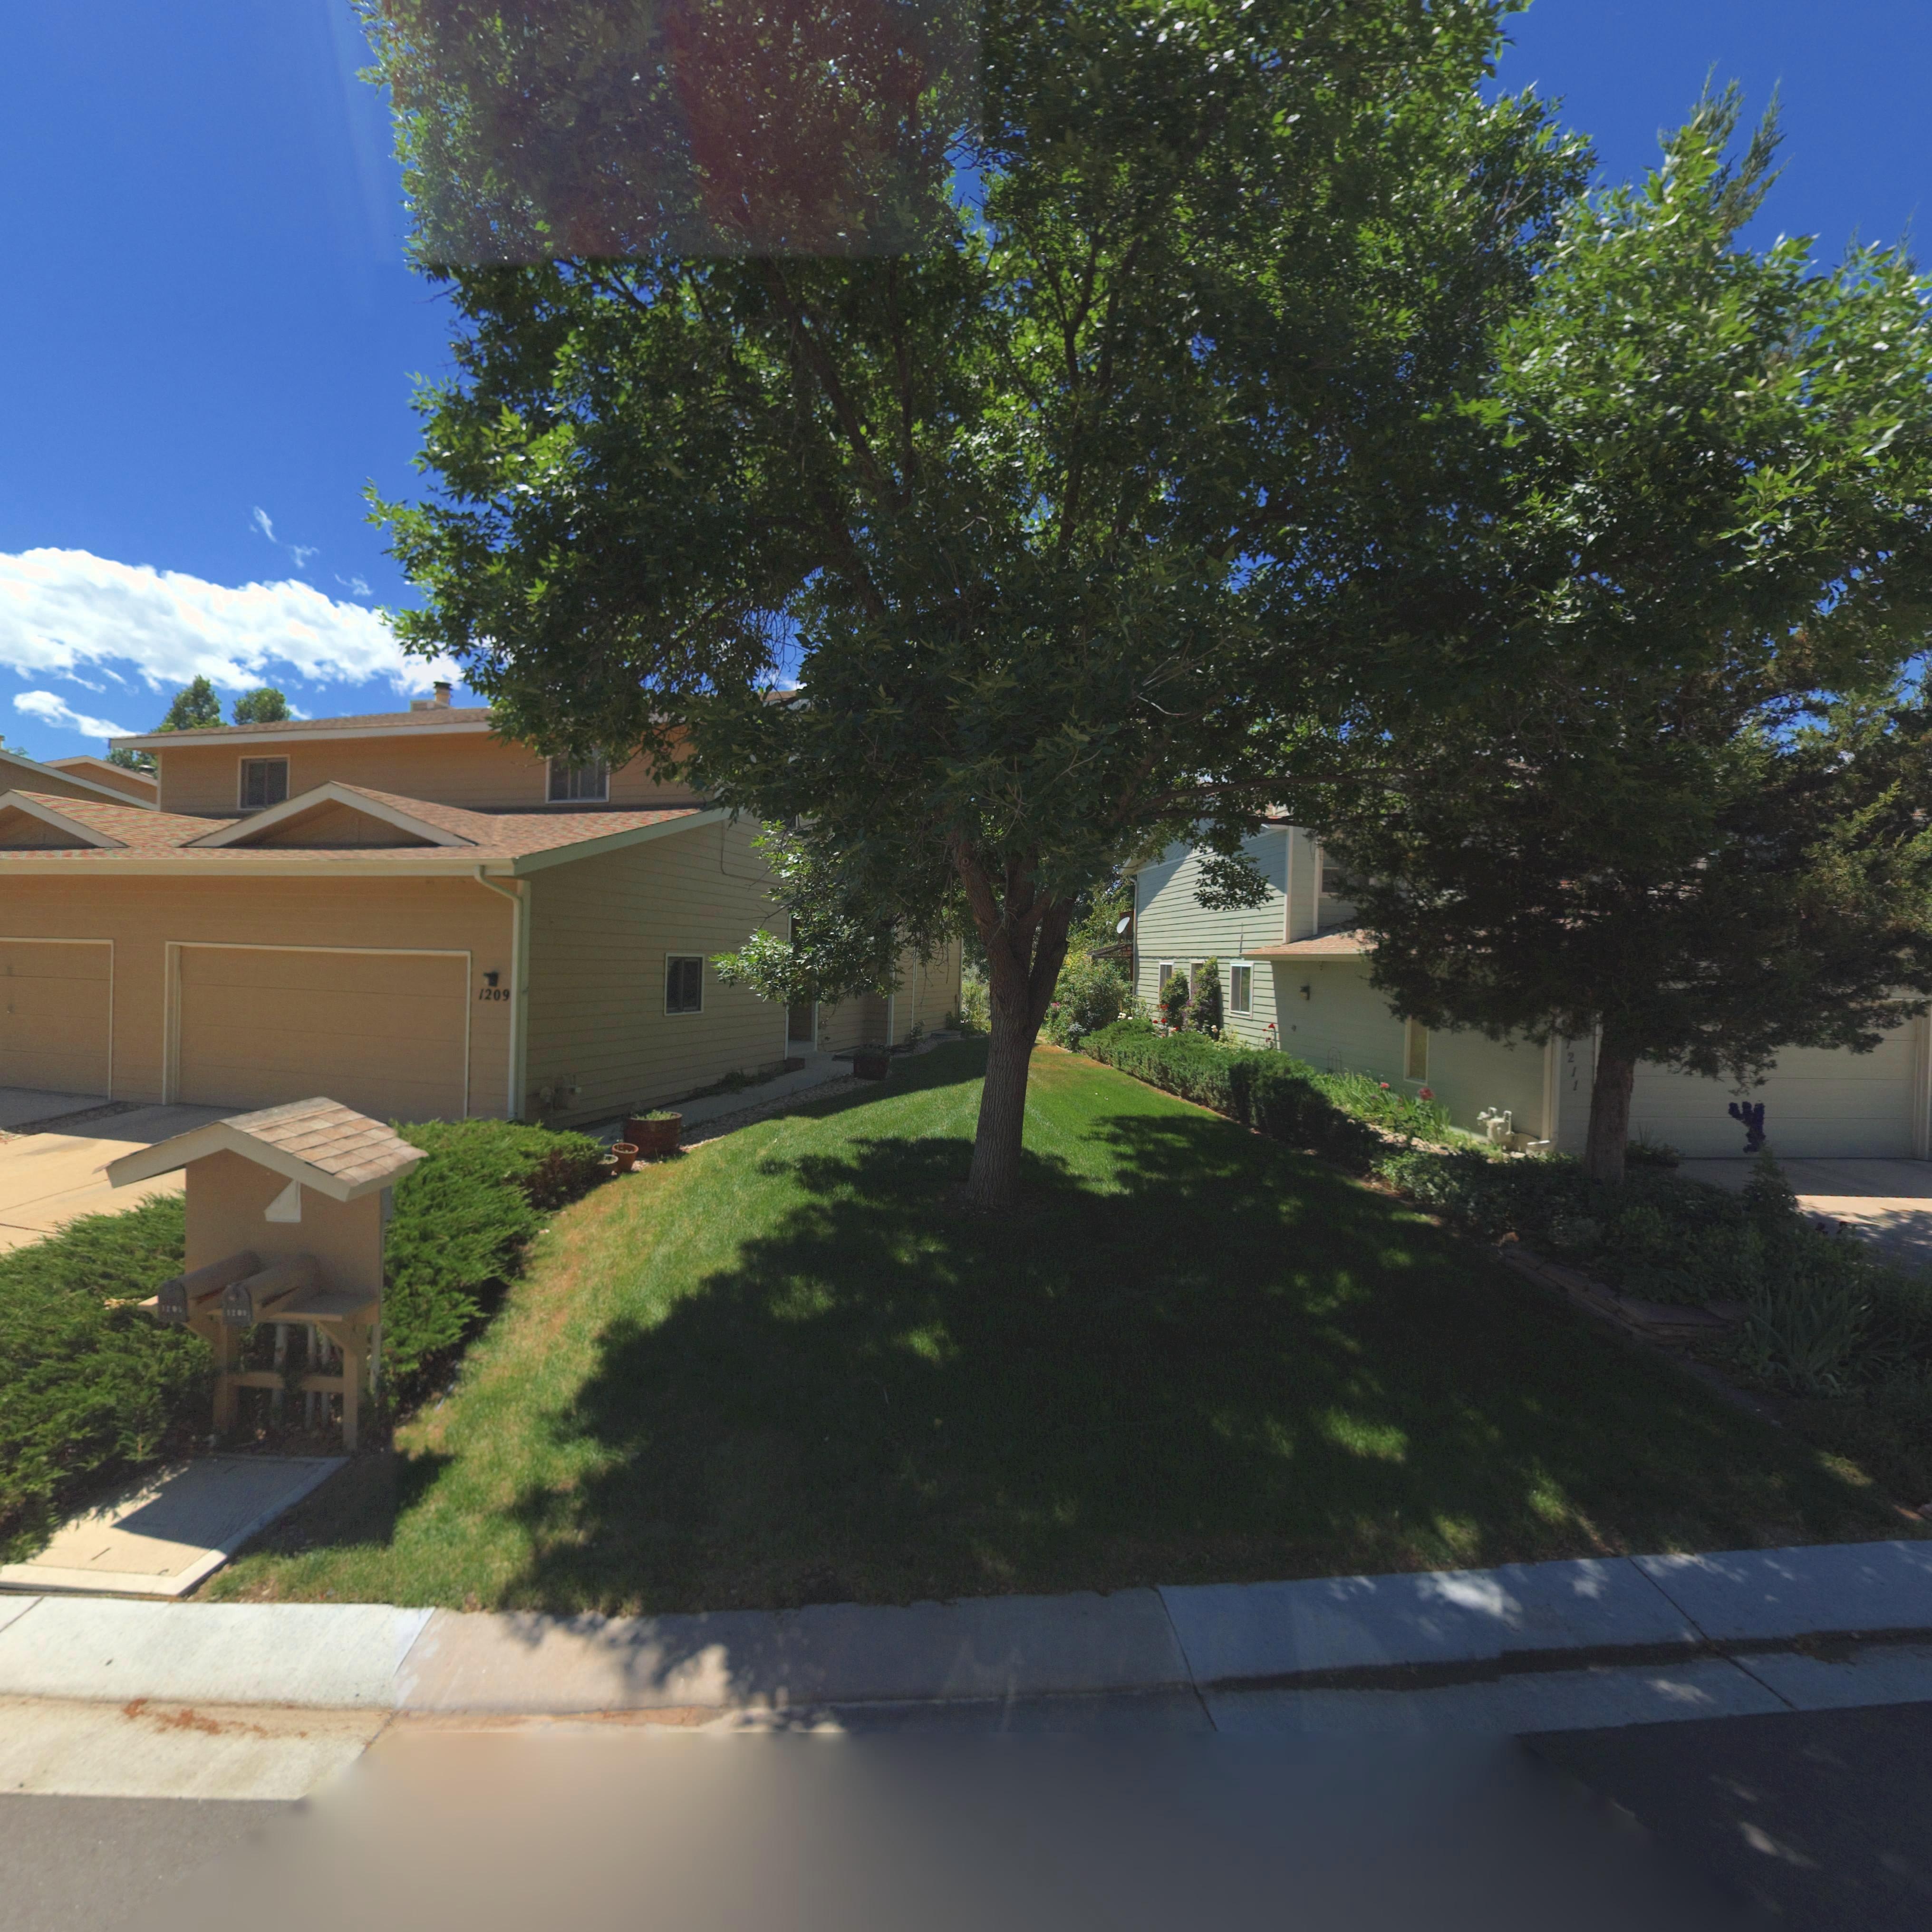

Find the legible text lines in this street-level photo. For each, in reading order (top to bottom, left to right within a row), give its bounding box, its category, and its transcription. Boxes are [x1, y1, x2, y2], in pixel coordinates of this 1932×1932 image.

[478, 988, 510, 1002] StreetNumber: 1209
[1565, 1037, 1578, 1092] StreetNumber: 1211
[161, 1304, 182, 1314] StreetNumber: 1*0*
[226, 1308, 247, 1317] StreetNumber: 120*